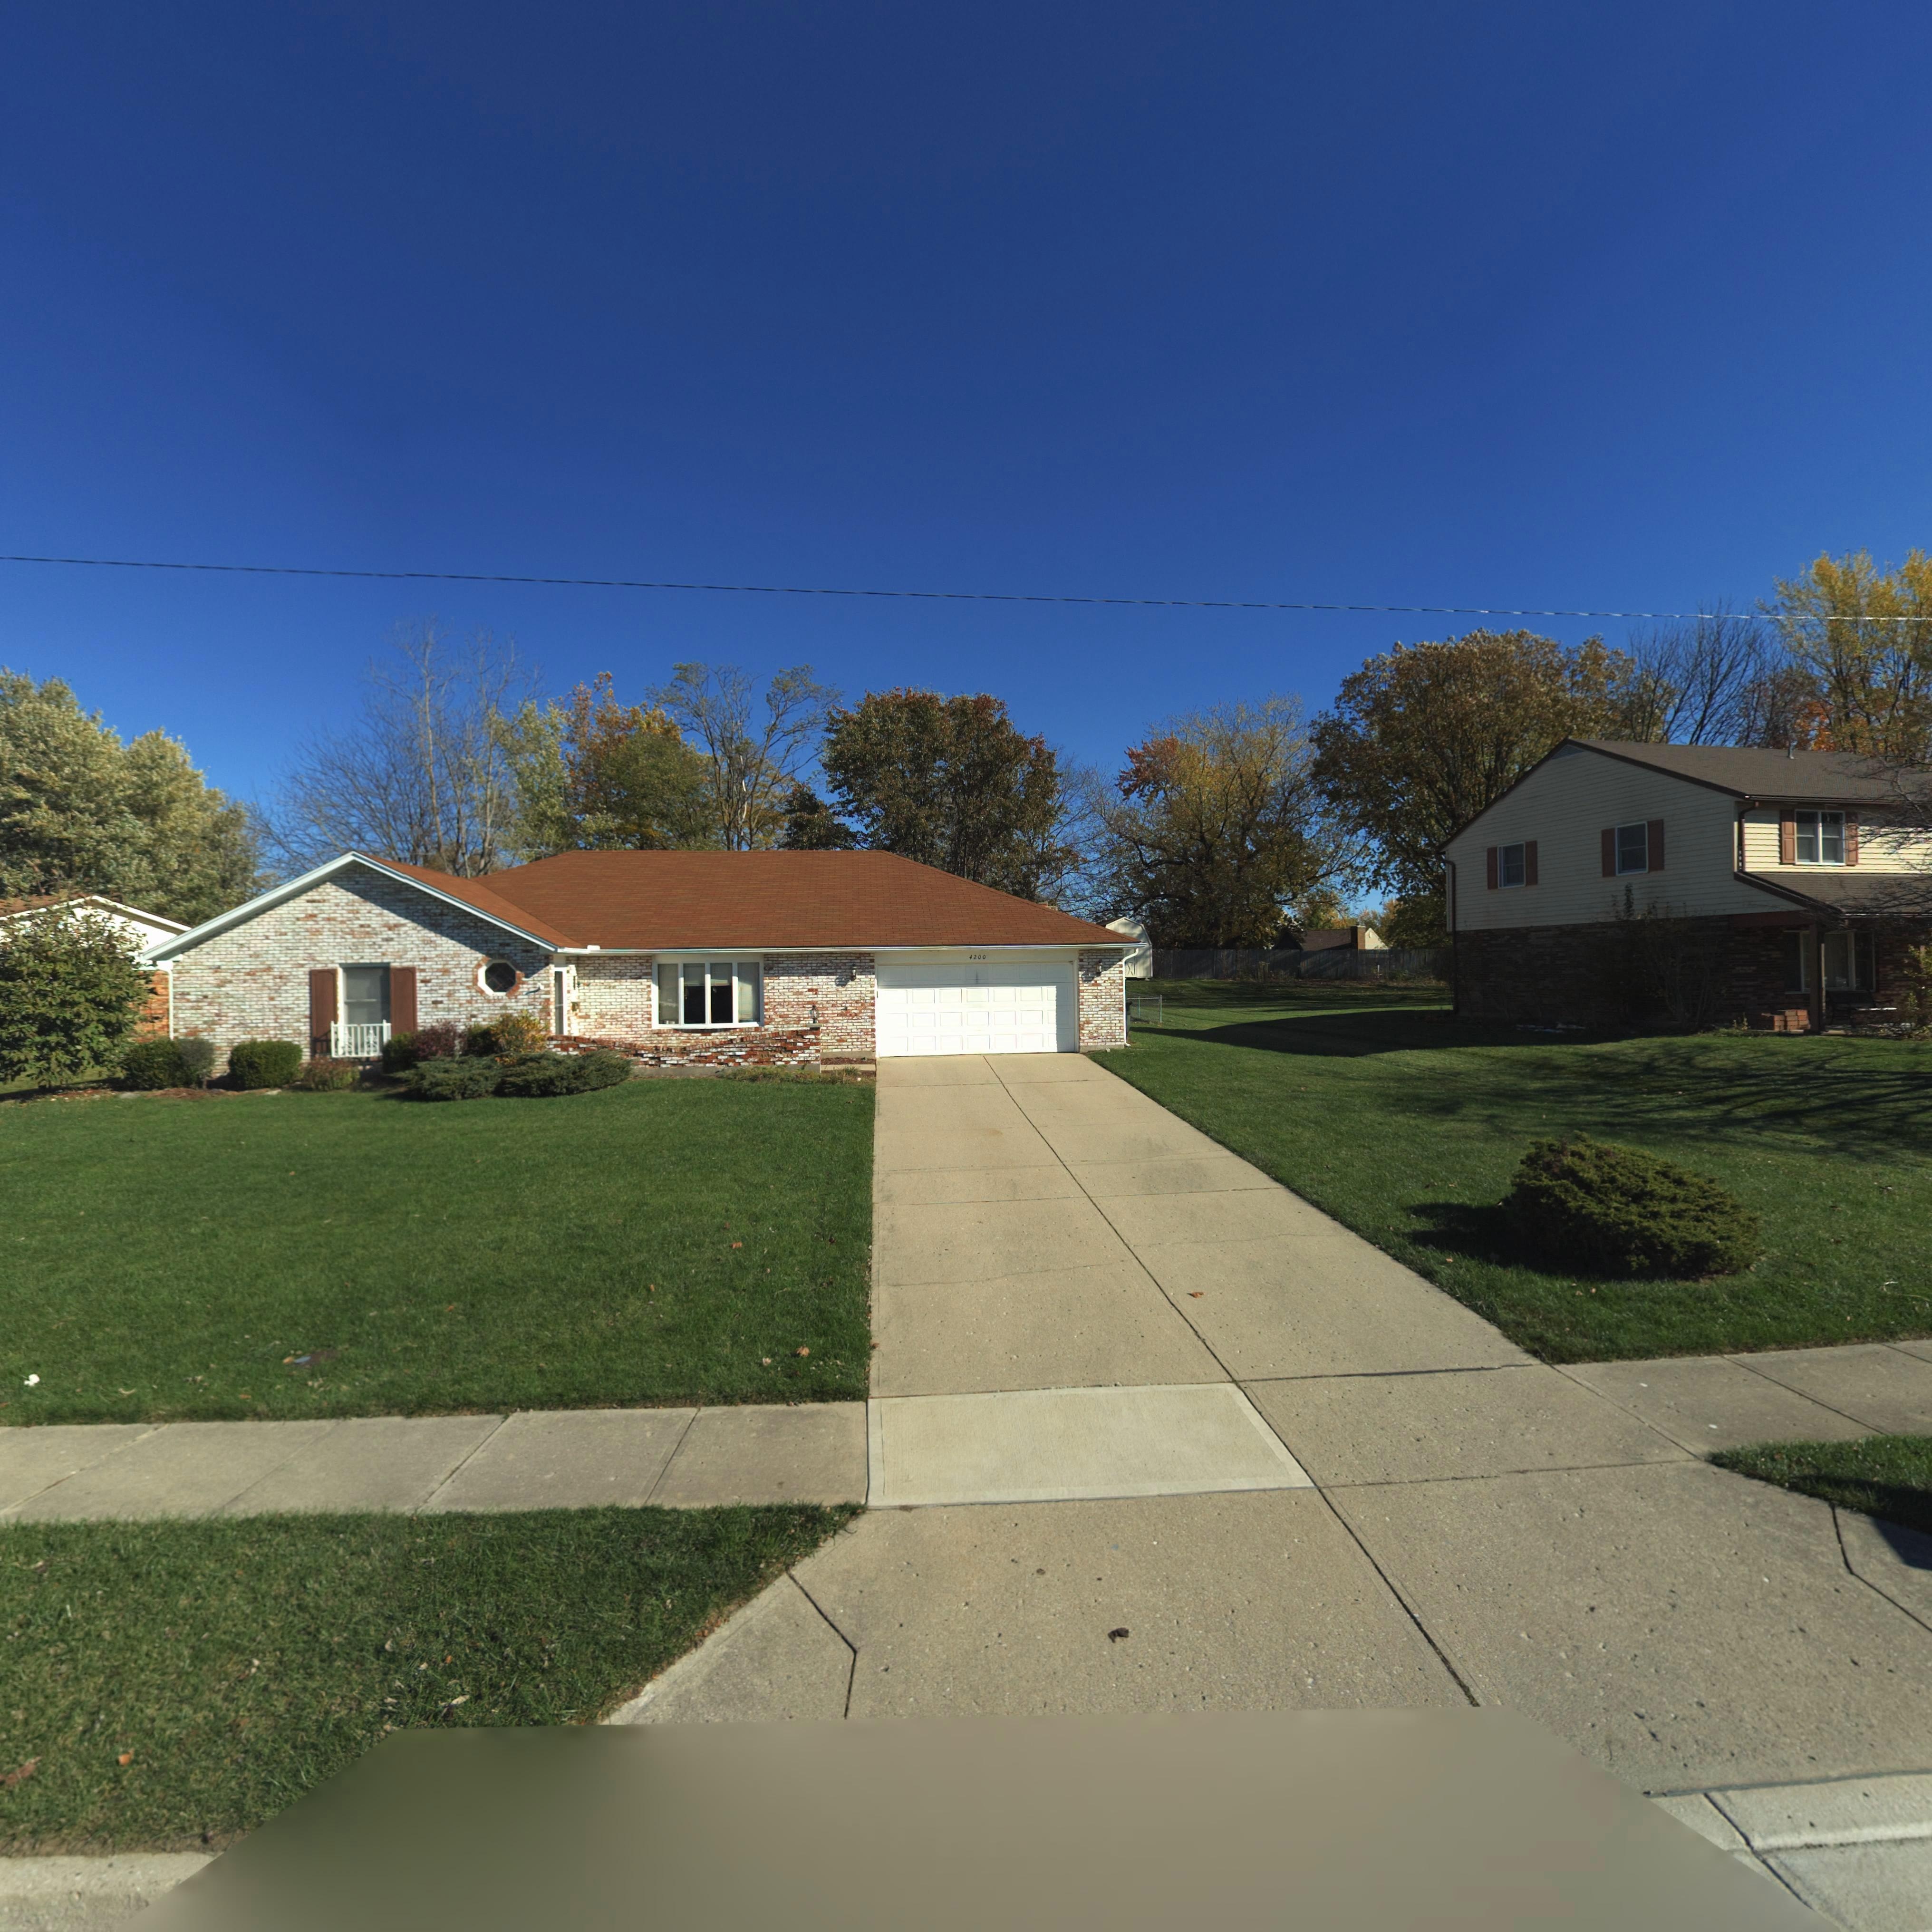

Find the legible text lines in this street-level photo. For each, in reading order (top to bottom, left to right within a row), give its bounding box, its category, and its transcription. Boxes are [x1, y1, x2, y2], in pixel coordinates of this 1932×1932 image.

[968, 954, 986, 960] StreetNumber: 4200